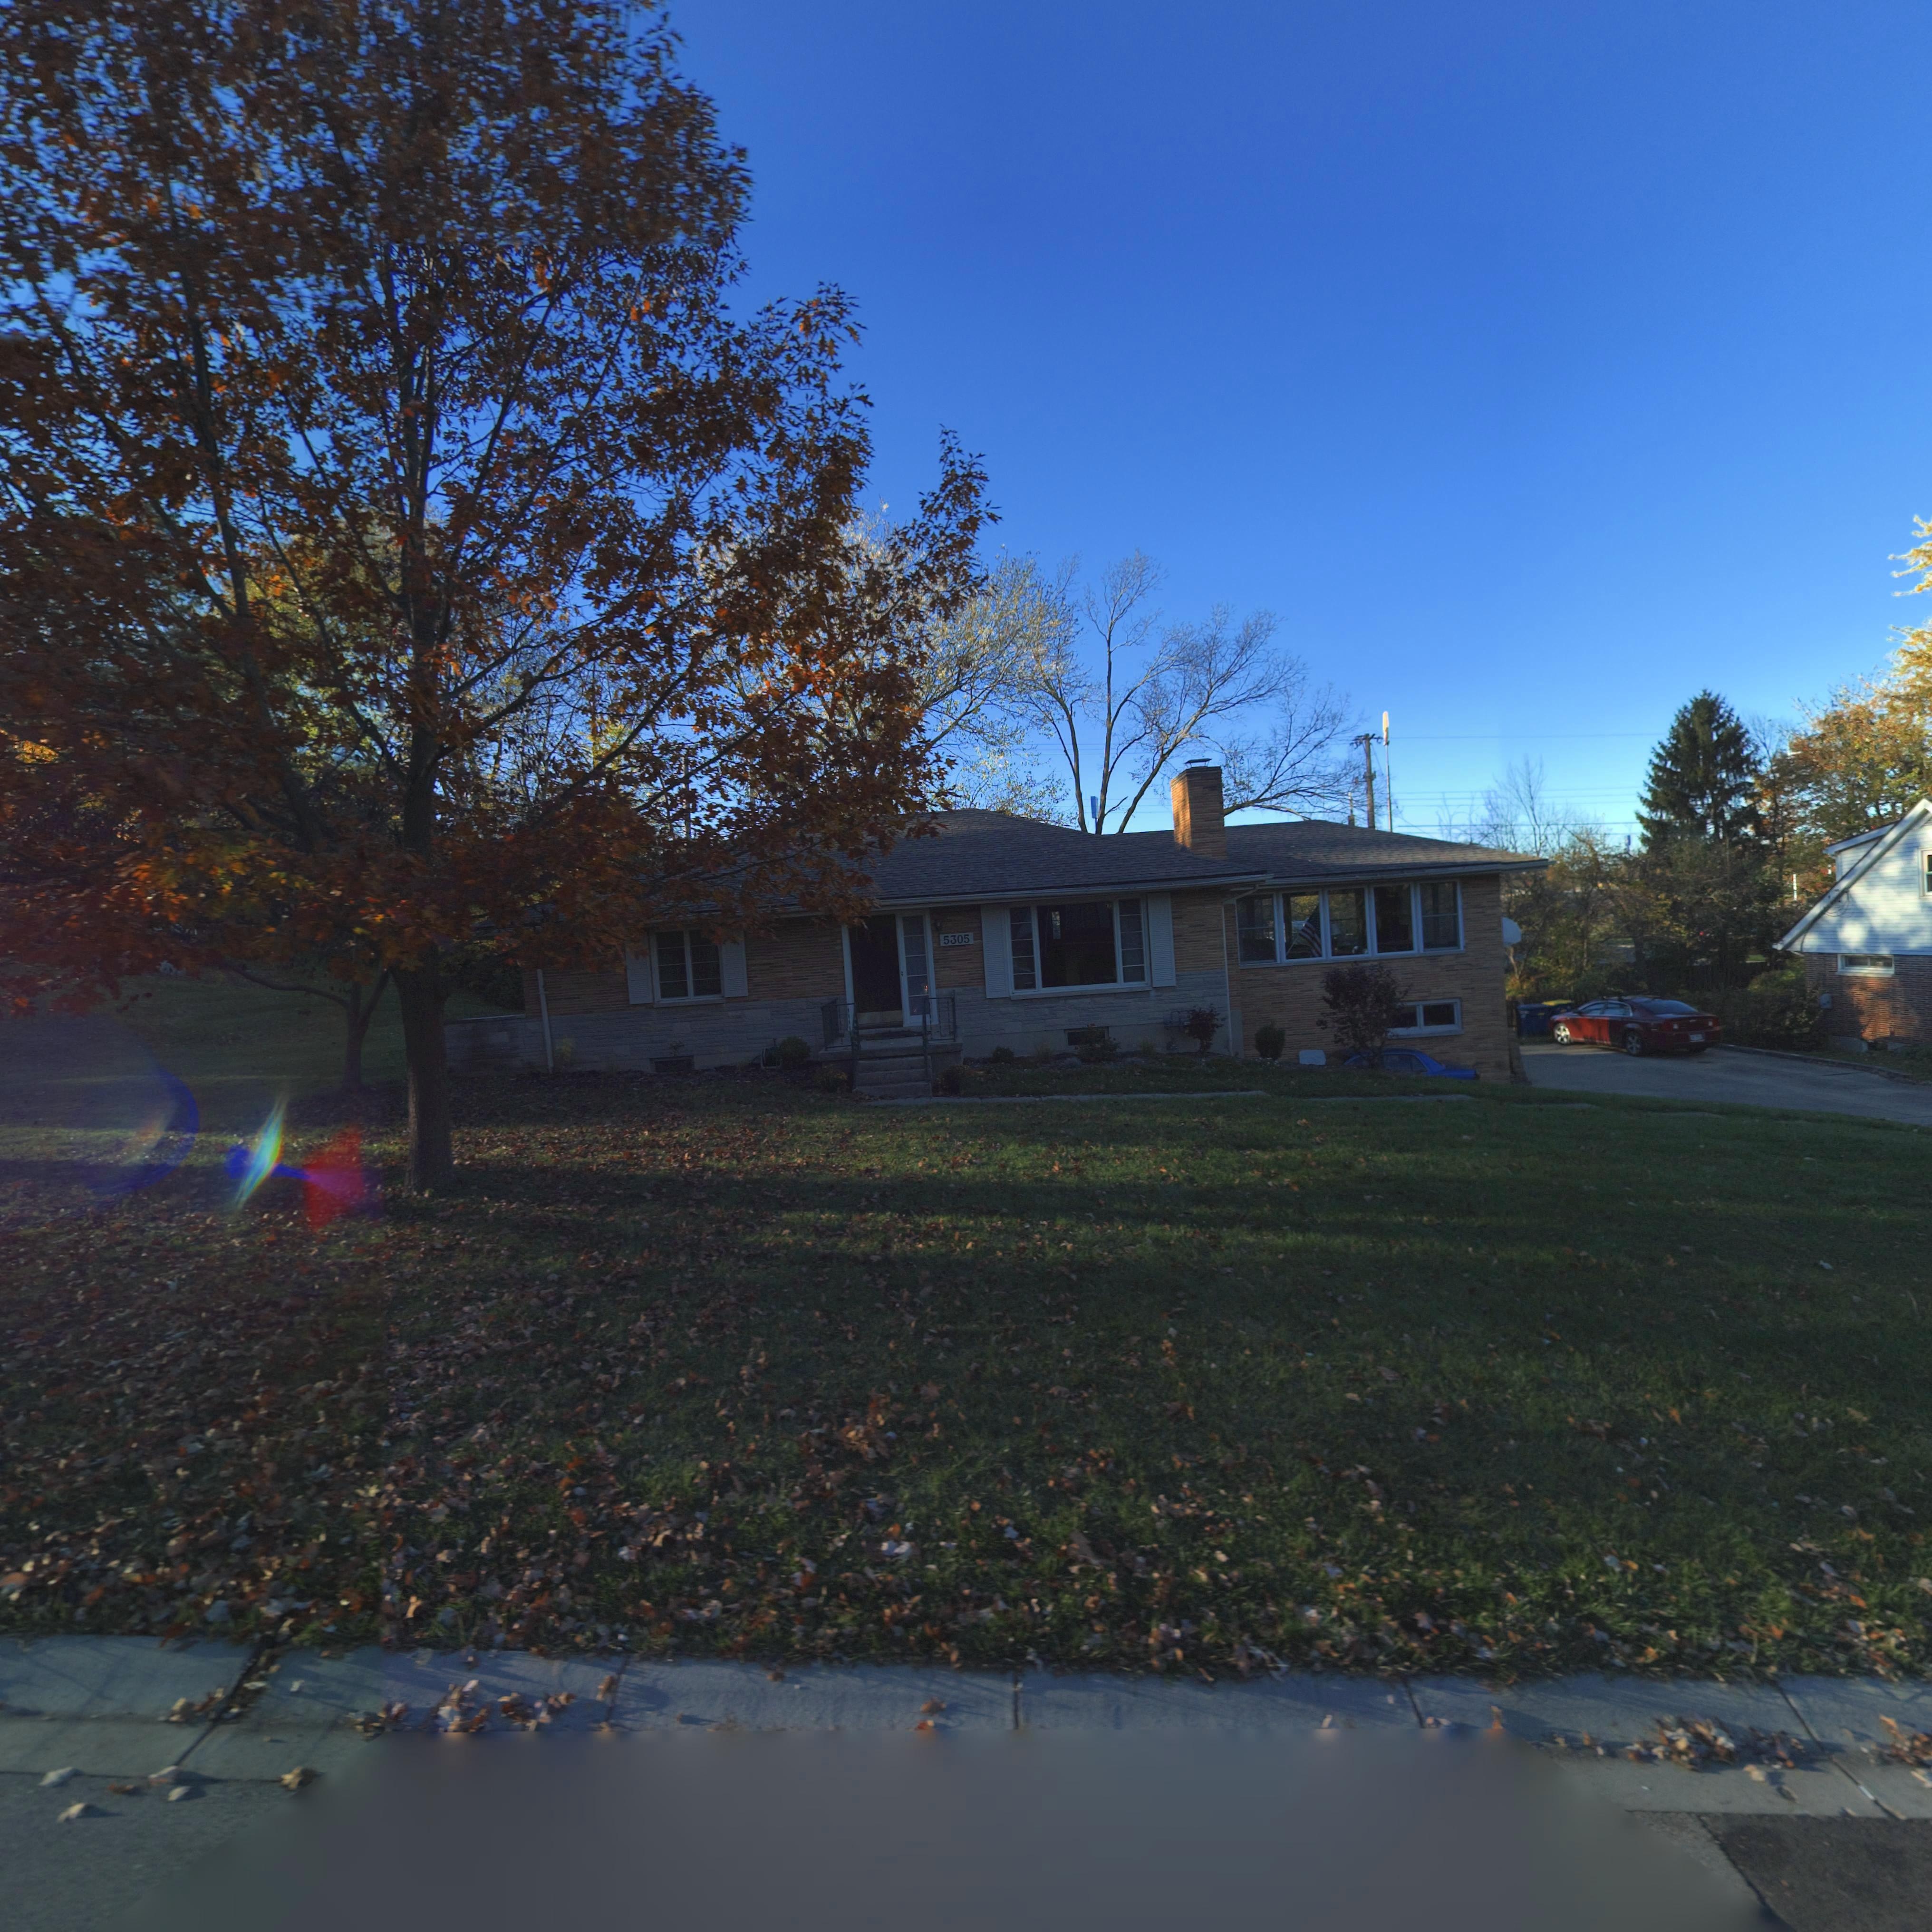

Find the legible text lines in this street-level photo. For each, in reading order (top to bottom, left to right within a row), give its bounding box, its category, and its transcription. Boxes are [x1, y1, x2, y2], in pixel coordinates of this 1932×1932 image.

[942, 933, 971, 946] StreetNumber: 5305